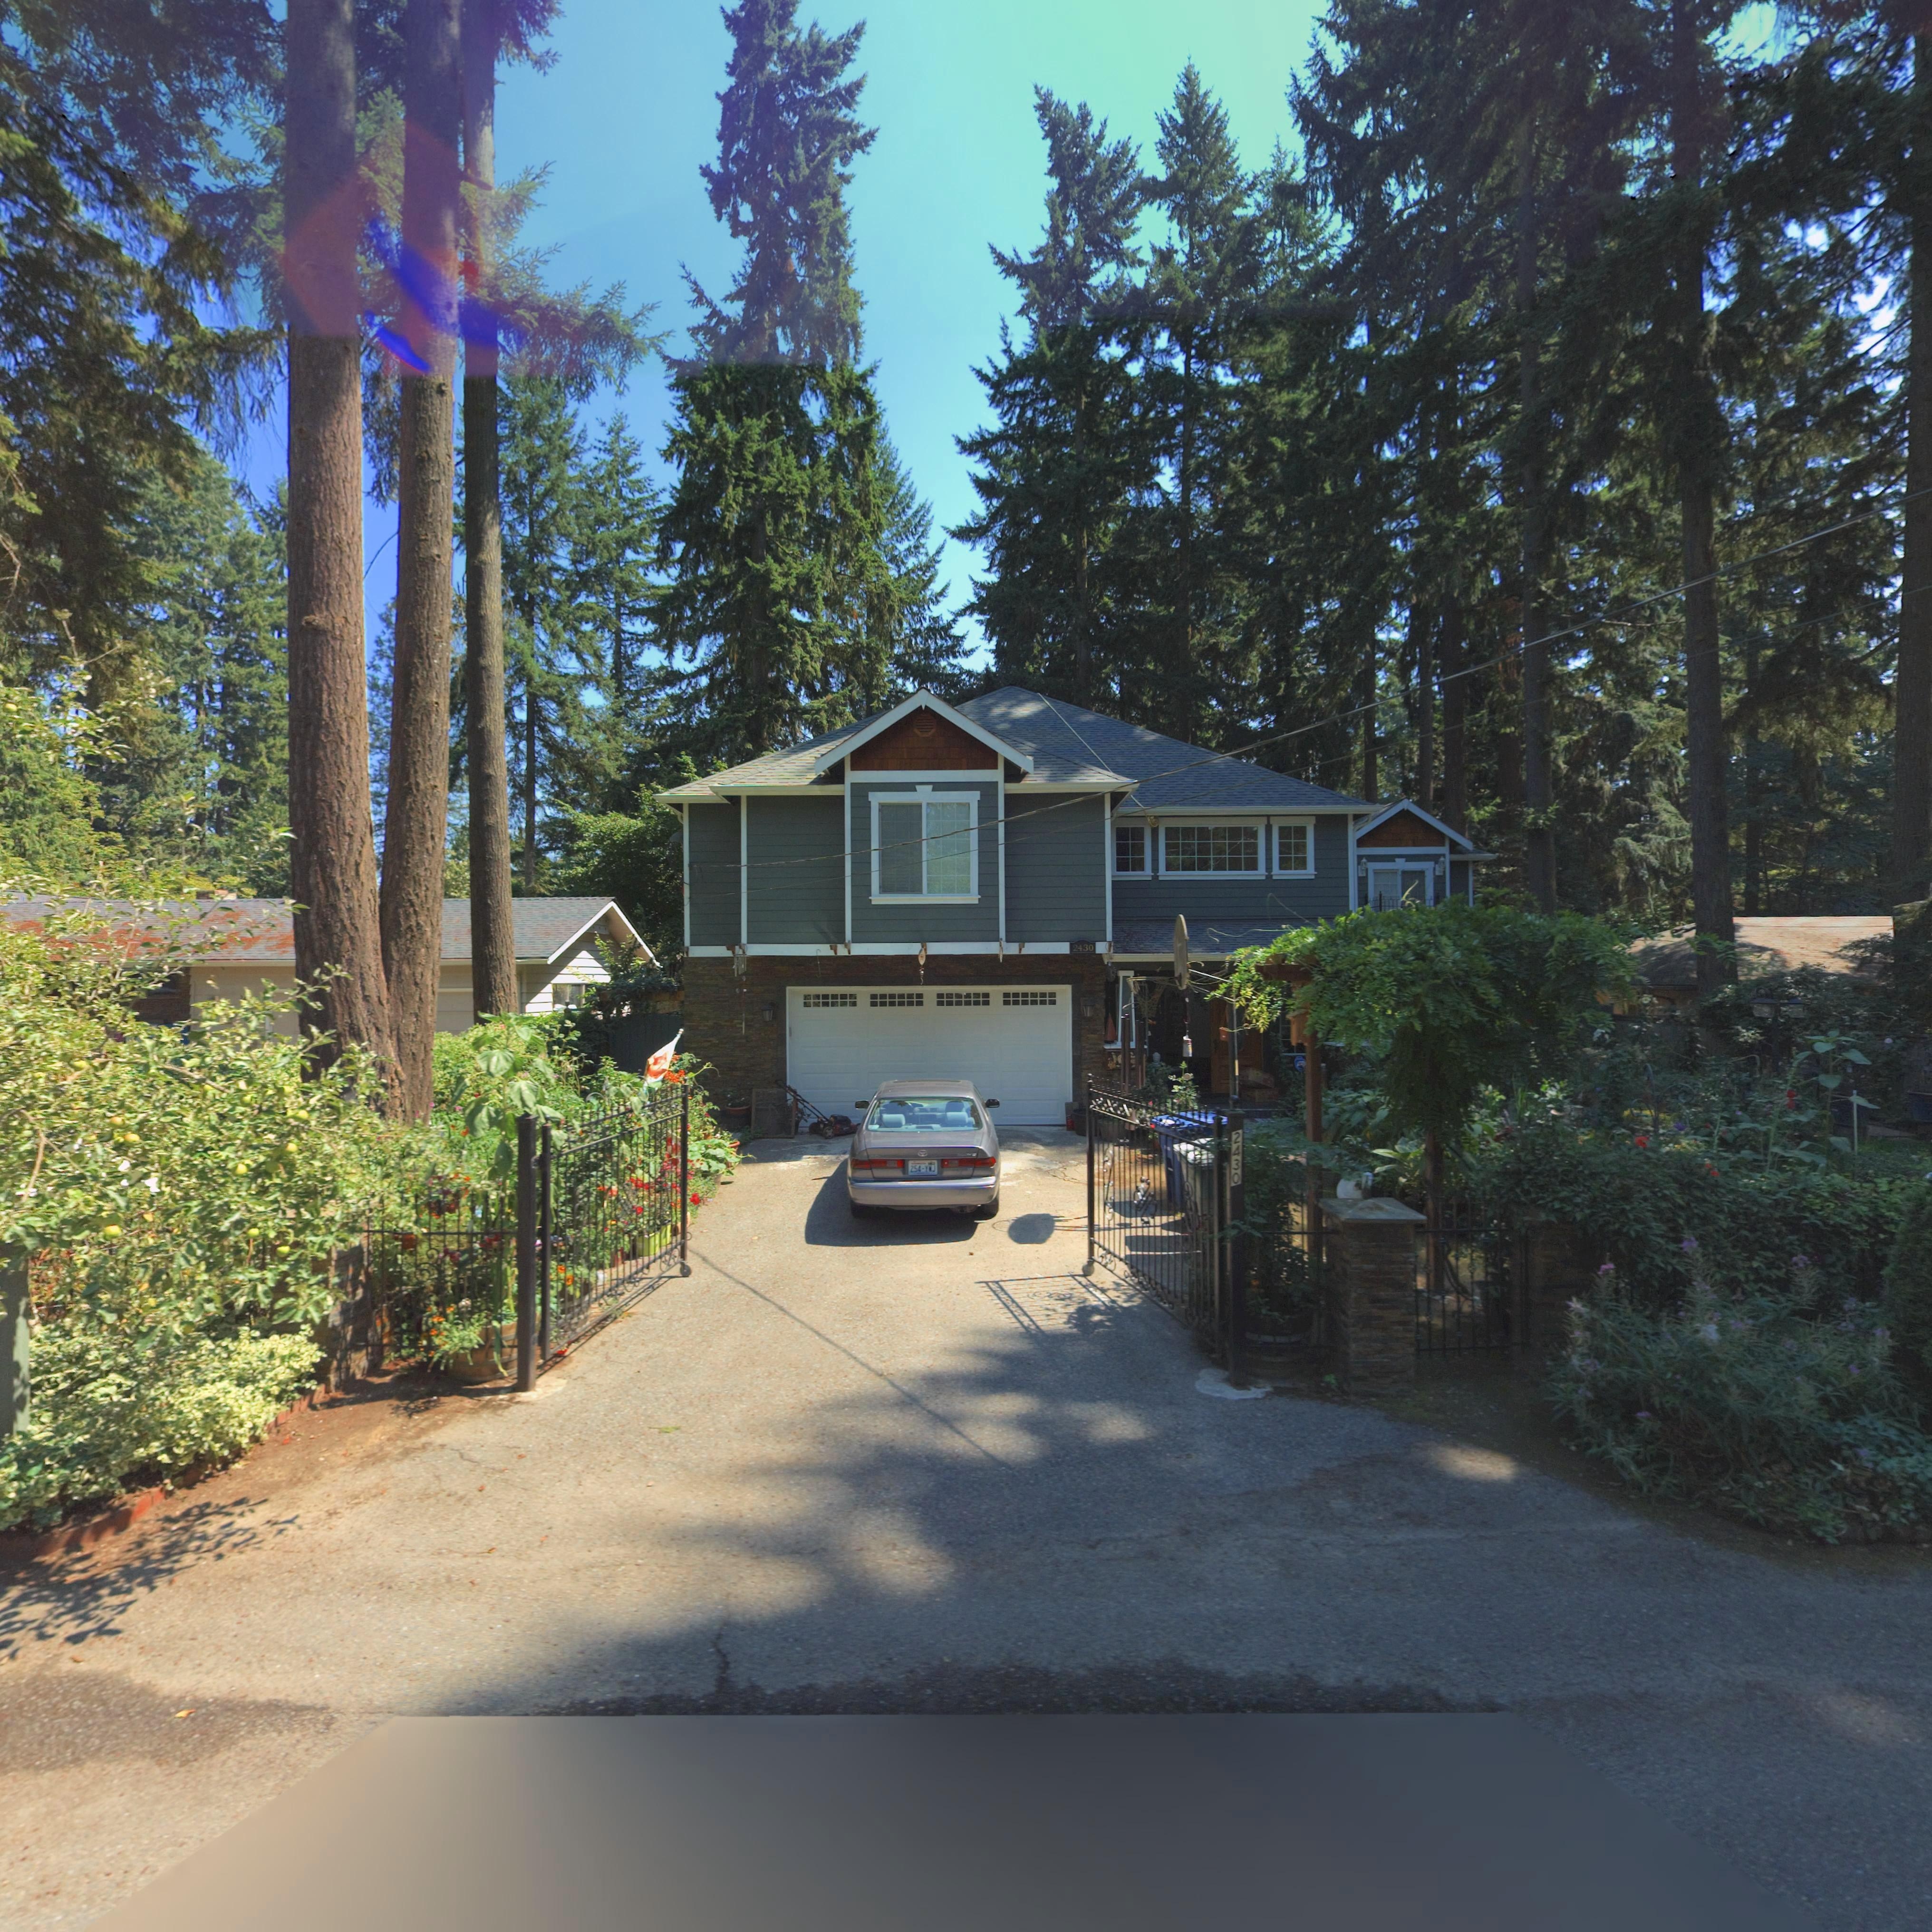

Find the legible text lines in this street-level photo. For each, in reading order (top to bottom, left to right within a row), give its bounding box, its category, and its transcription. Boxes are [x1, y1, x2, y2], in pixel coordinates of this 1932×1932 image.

[1072, 944, 1093, 951] StreetNumber: 2430
[1231, 1130, 1241, 1186] StreetNumber: 2430